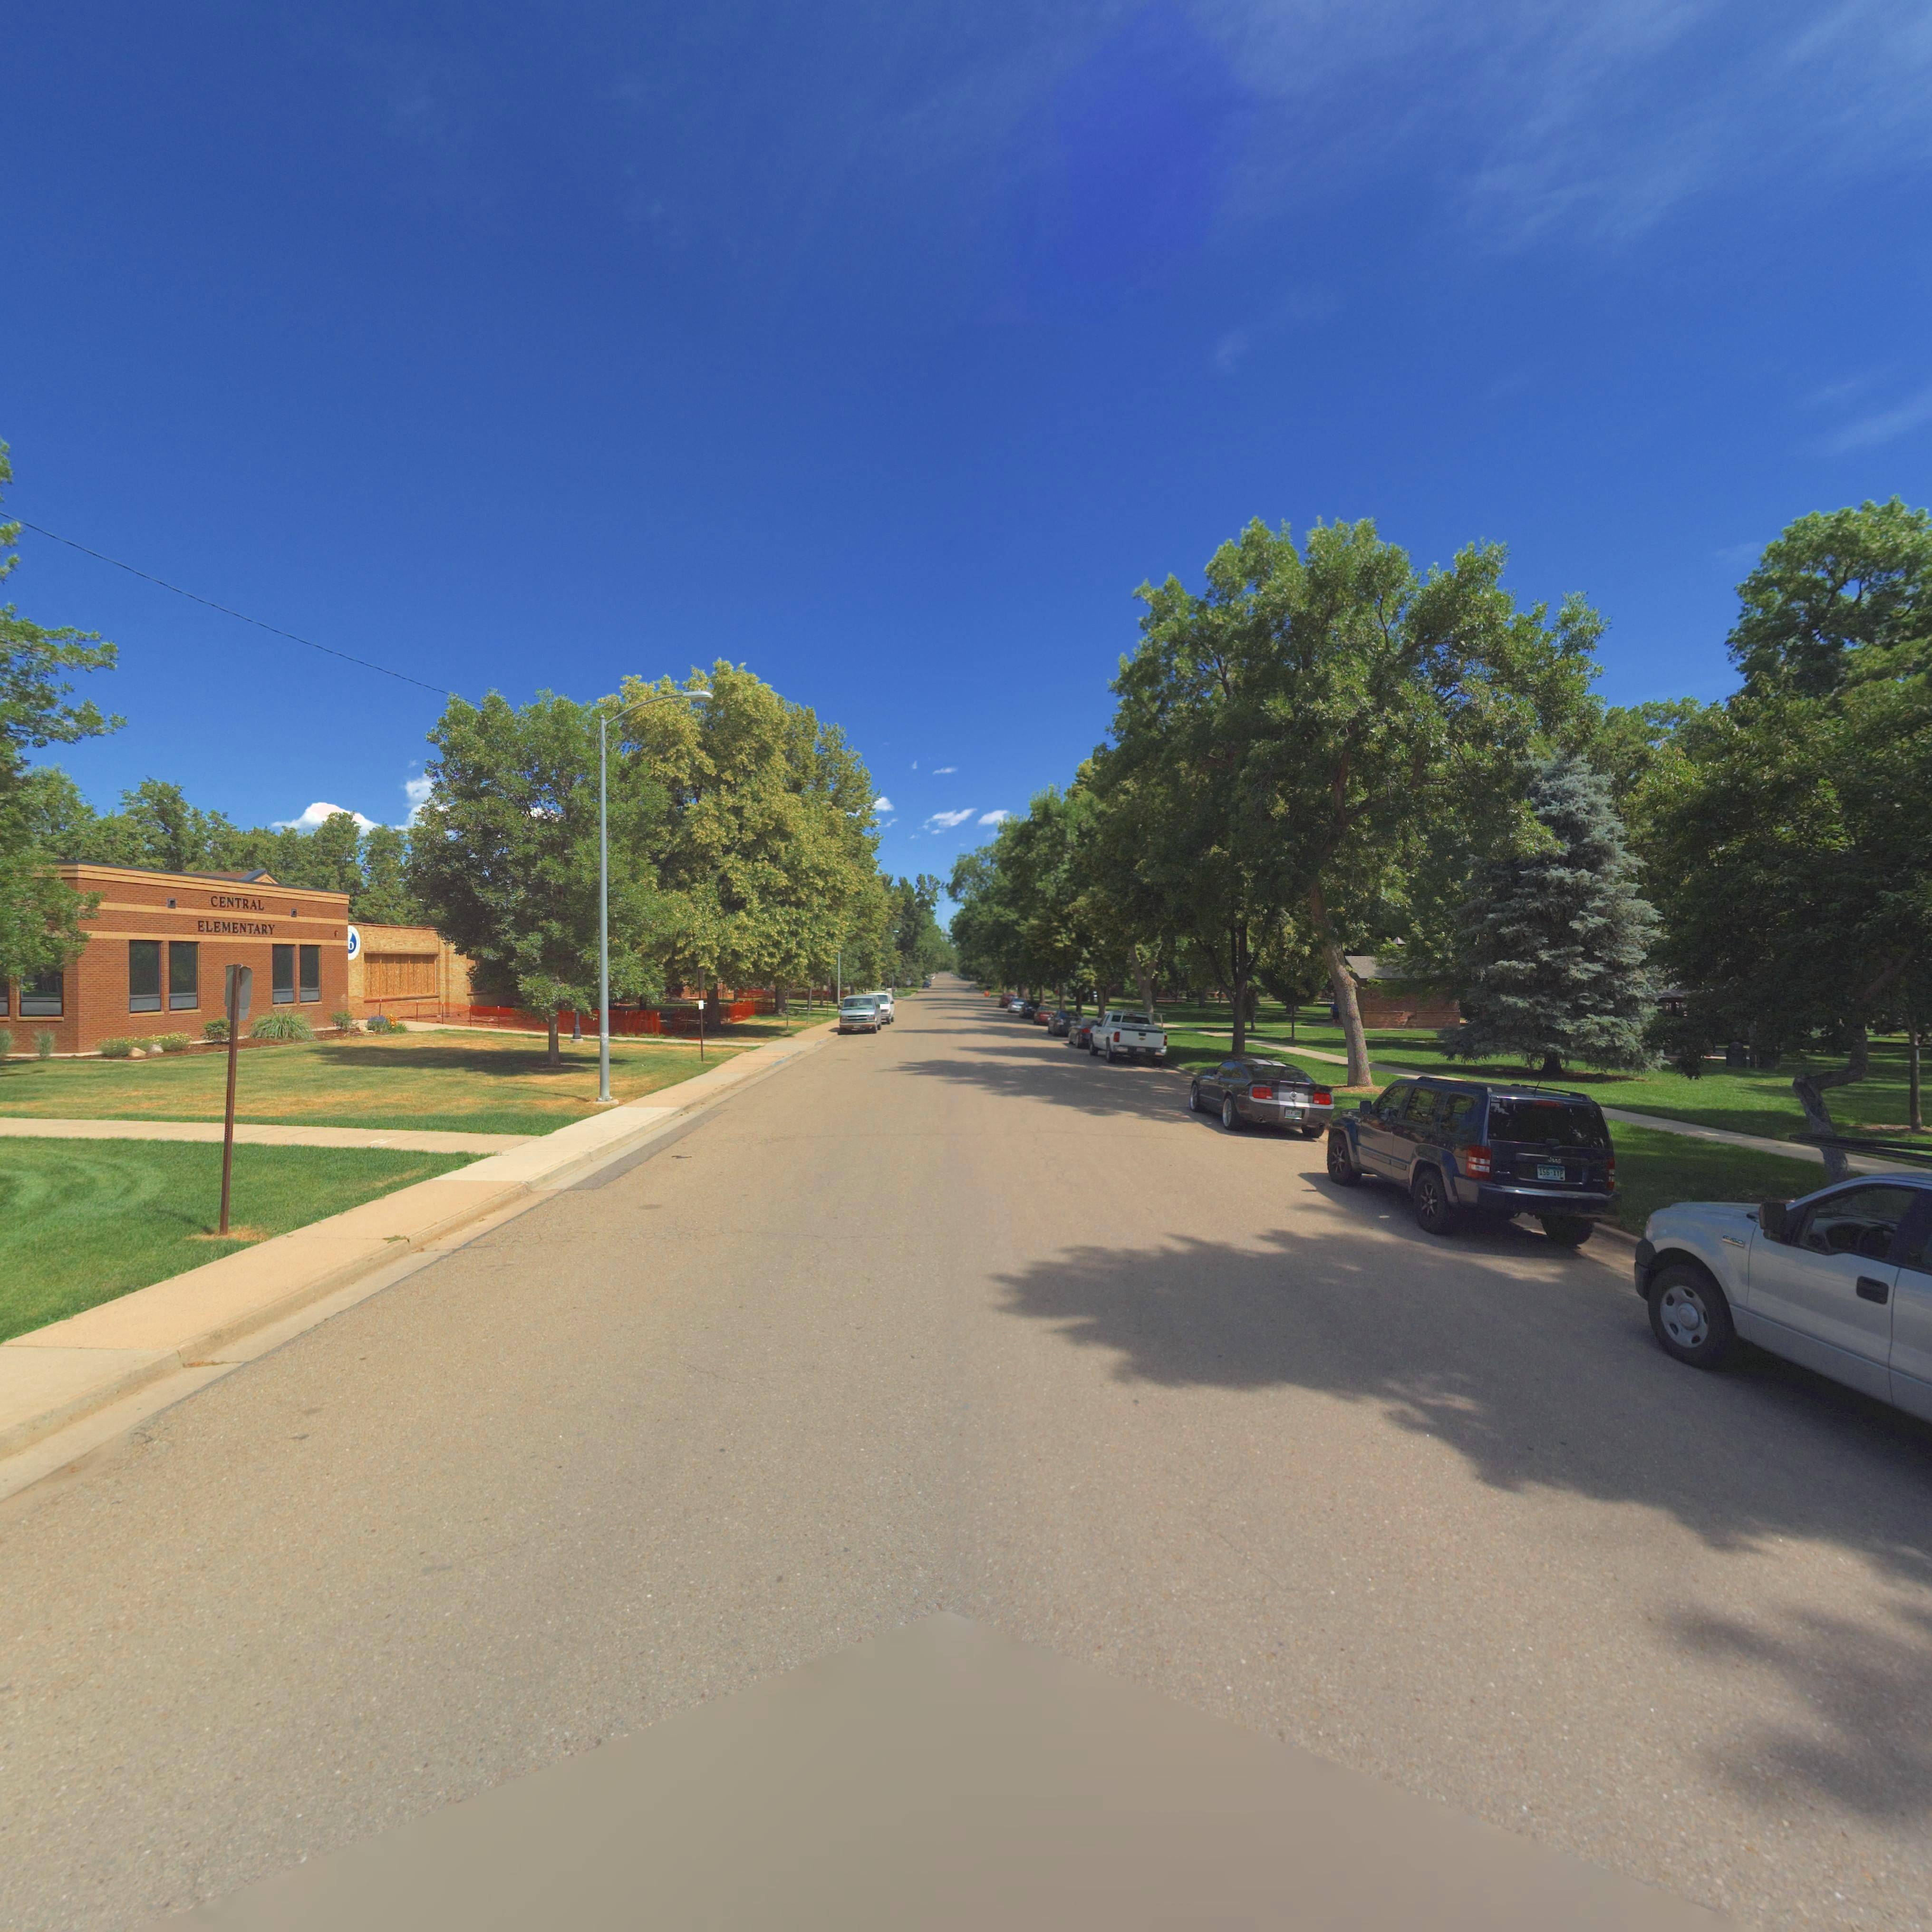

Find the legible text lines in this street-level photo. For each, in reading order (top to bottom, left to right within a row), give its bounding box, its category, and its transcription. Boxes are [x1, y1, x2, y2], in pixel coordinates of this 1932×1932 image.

[210, 896, 264, 910] BusinessName: CENTRAL
[197, 920, 276, 935] BusinessName: ELEMENTARY